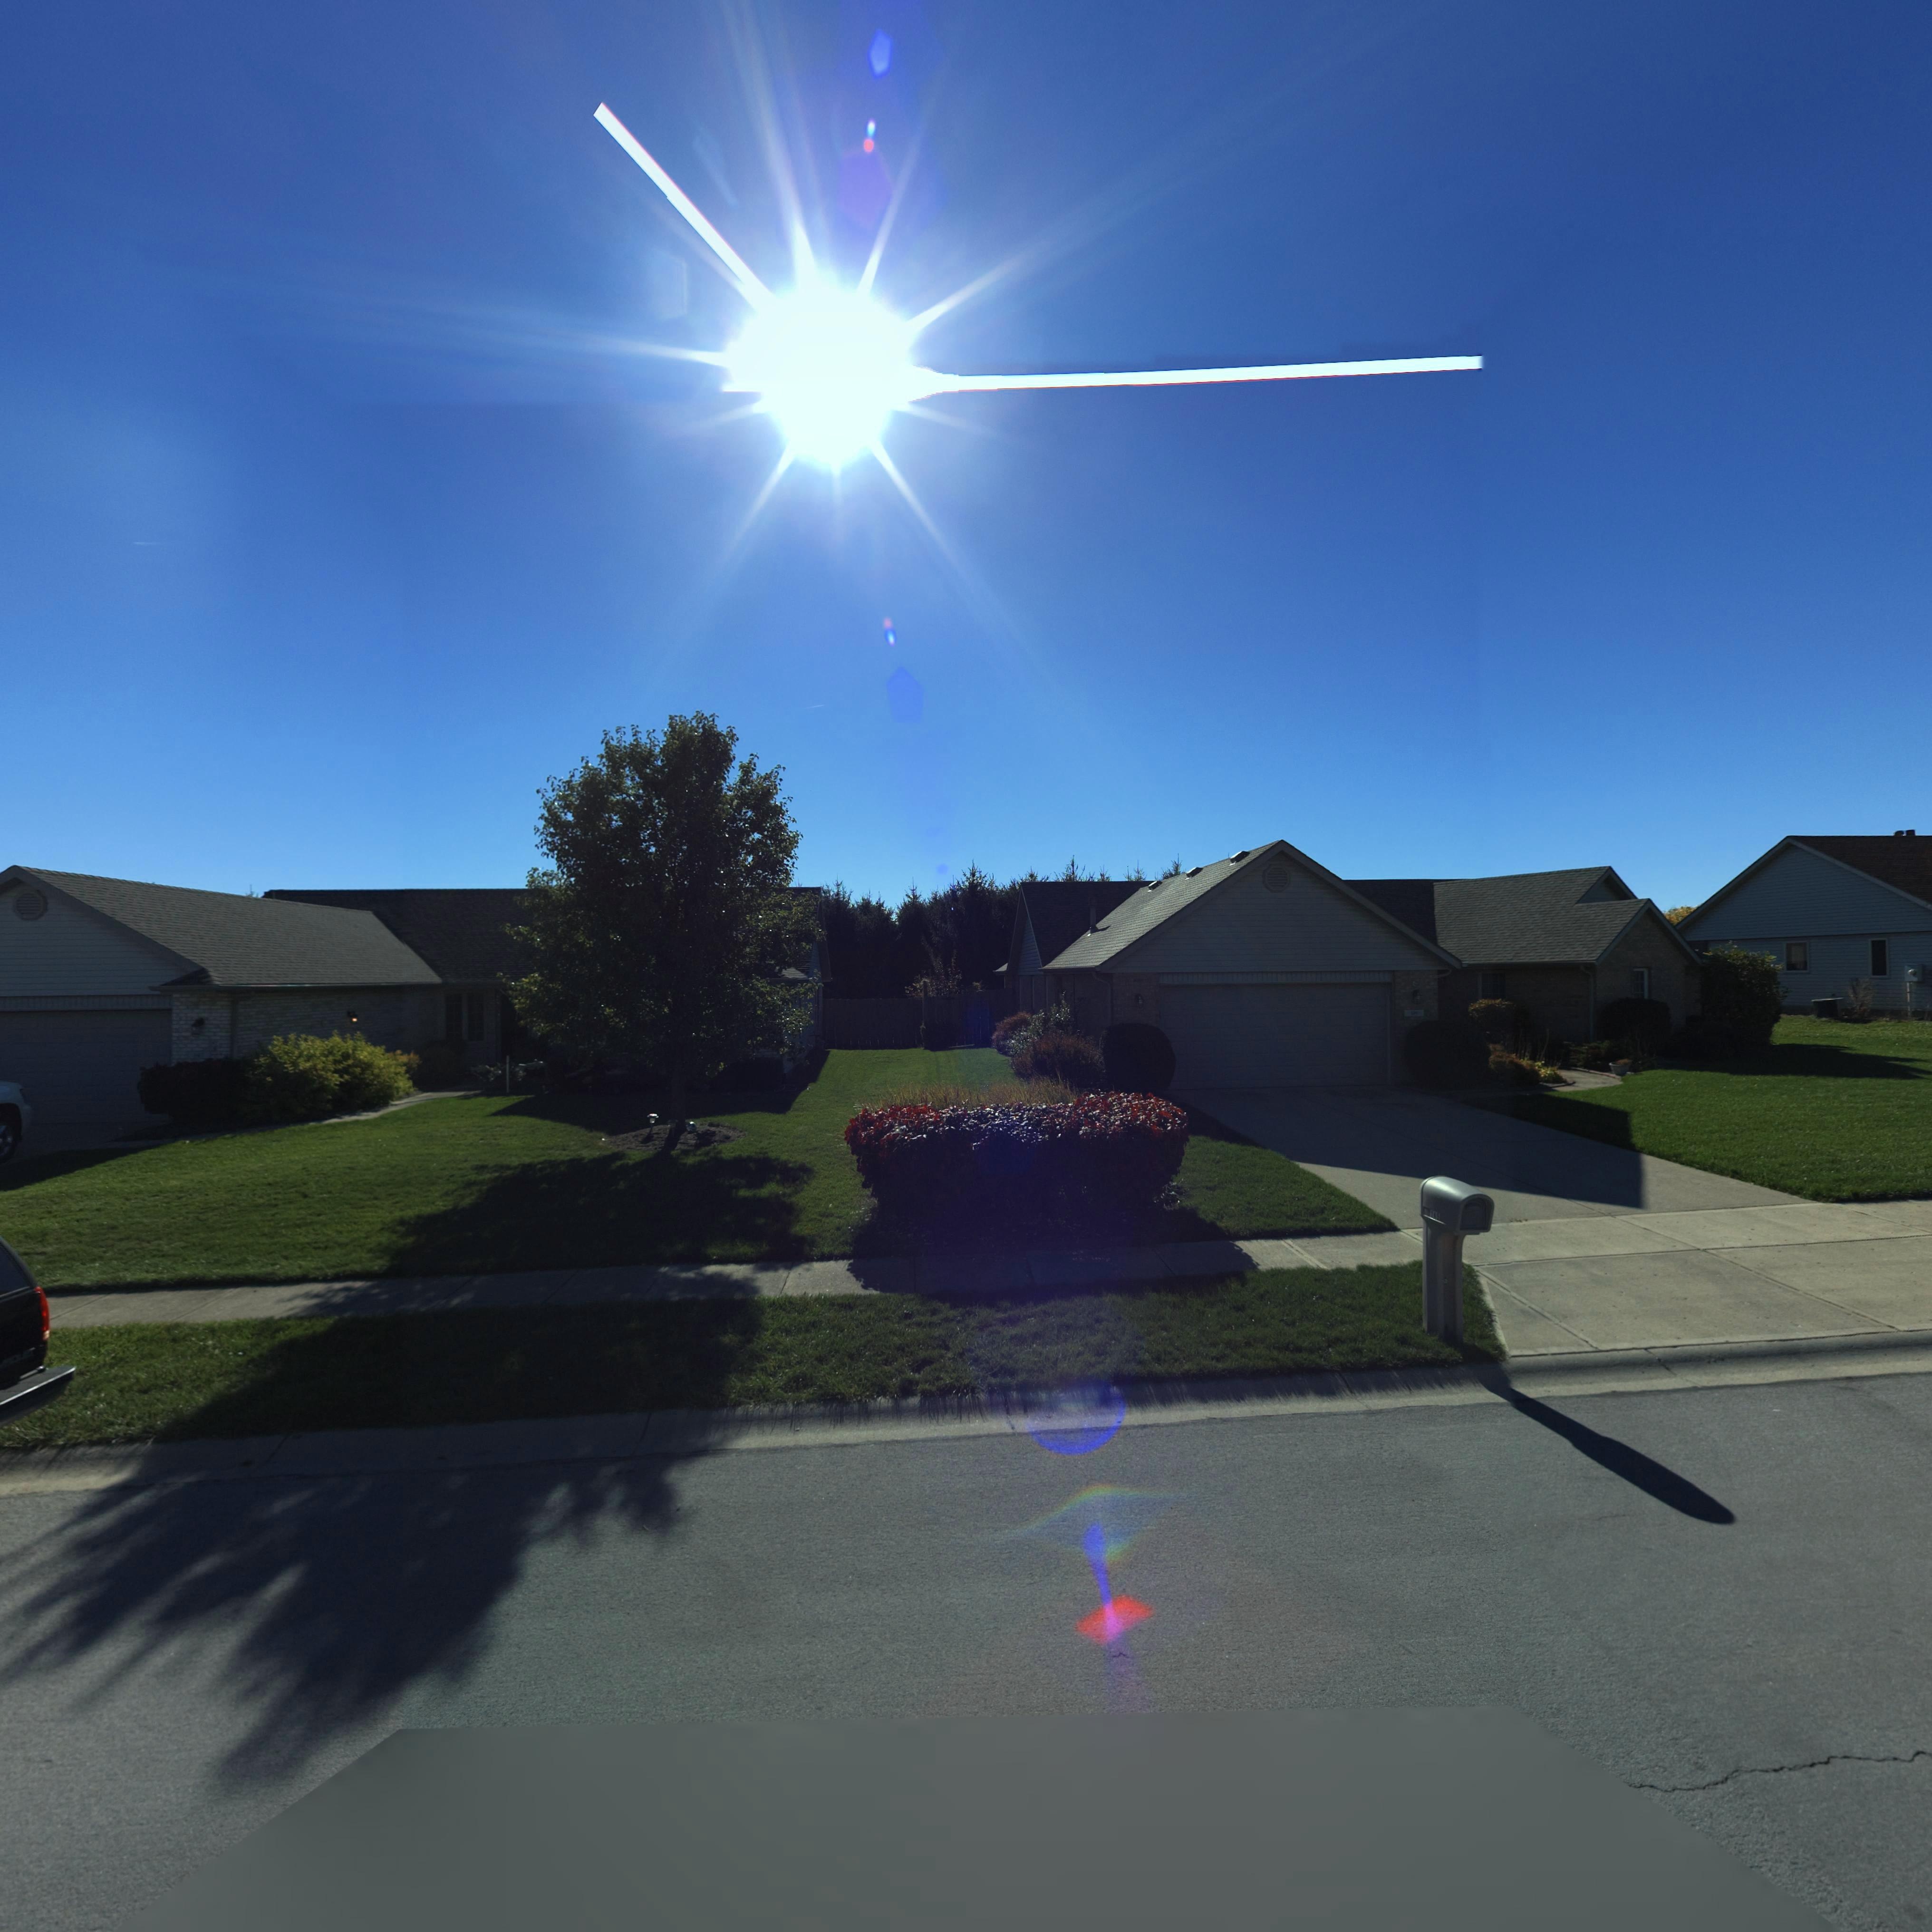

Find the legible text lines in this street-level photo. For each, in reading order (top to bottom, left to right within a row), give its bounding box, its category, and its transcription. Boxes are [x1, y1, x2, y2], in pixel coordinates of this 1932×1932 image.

[1410, 1011, 1418, 1016] StreetNumber: 1**
[1430, 1209, 1440, 1221] StreetNumber: 149